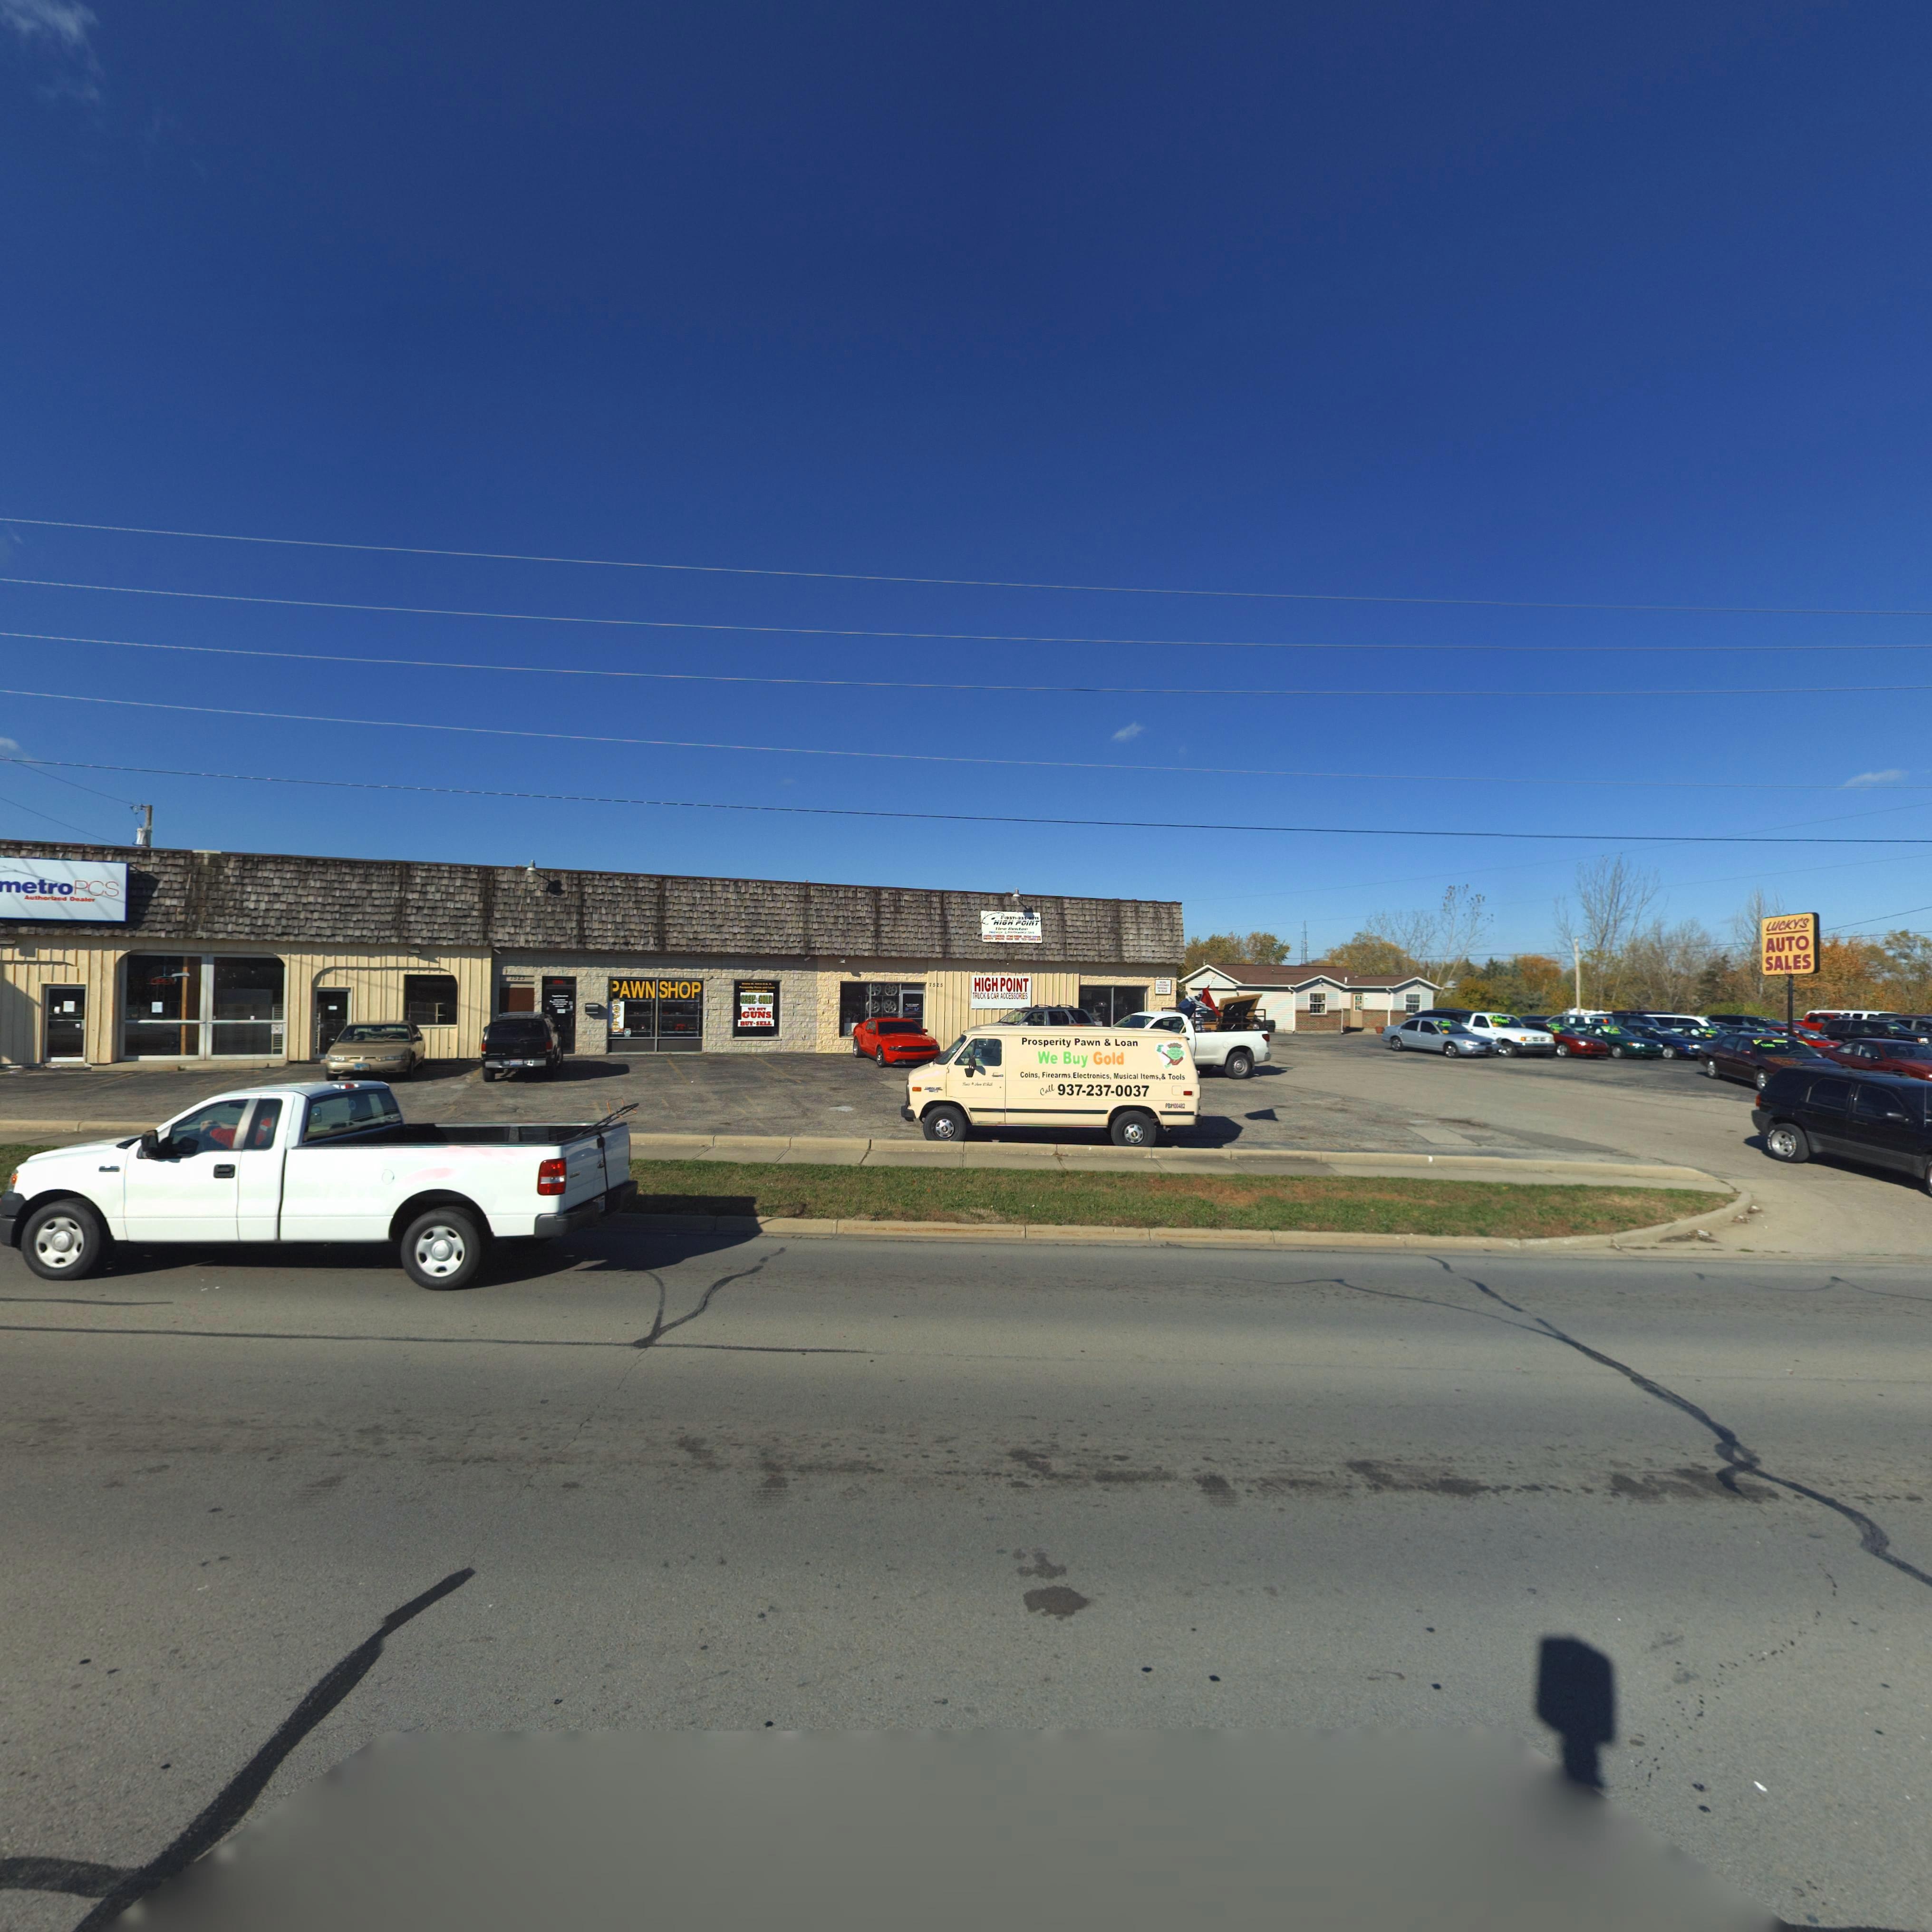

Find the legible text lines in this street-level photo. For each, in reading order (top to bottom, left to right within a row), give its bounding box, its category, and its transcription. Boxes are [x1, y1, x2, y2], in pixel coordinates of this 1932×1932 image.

[0, 878, 121, 898] BusinessName: metroPCS
[993, 919, 1042, 926] BusinessName: HIGH POINT
[1764, 917, 1810, 932] BusinessName: LUCKY'S
[1765, 935, 1810, 953] BusinessName: AUTO
[1764, 953, 1811, 972] BusinessName: SALES
[509, 975, 526, 981] StreetNumber: 7523
[928, 982, 944, 988] StreetNumber: 7525
[974, 977, 1029, 993] BusinessName: HIGH POINT
[740, 994, 773, 1005] BusinessName: CASH*GOLD